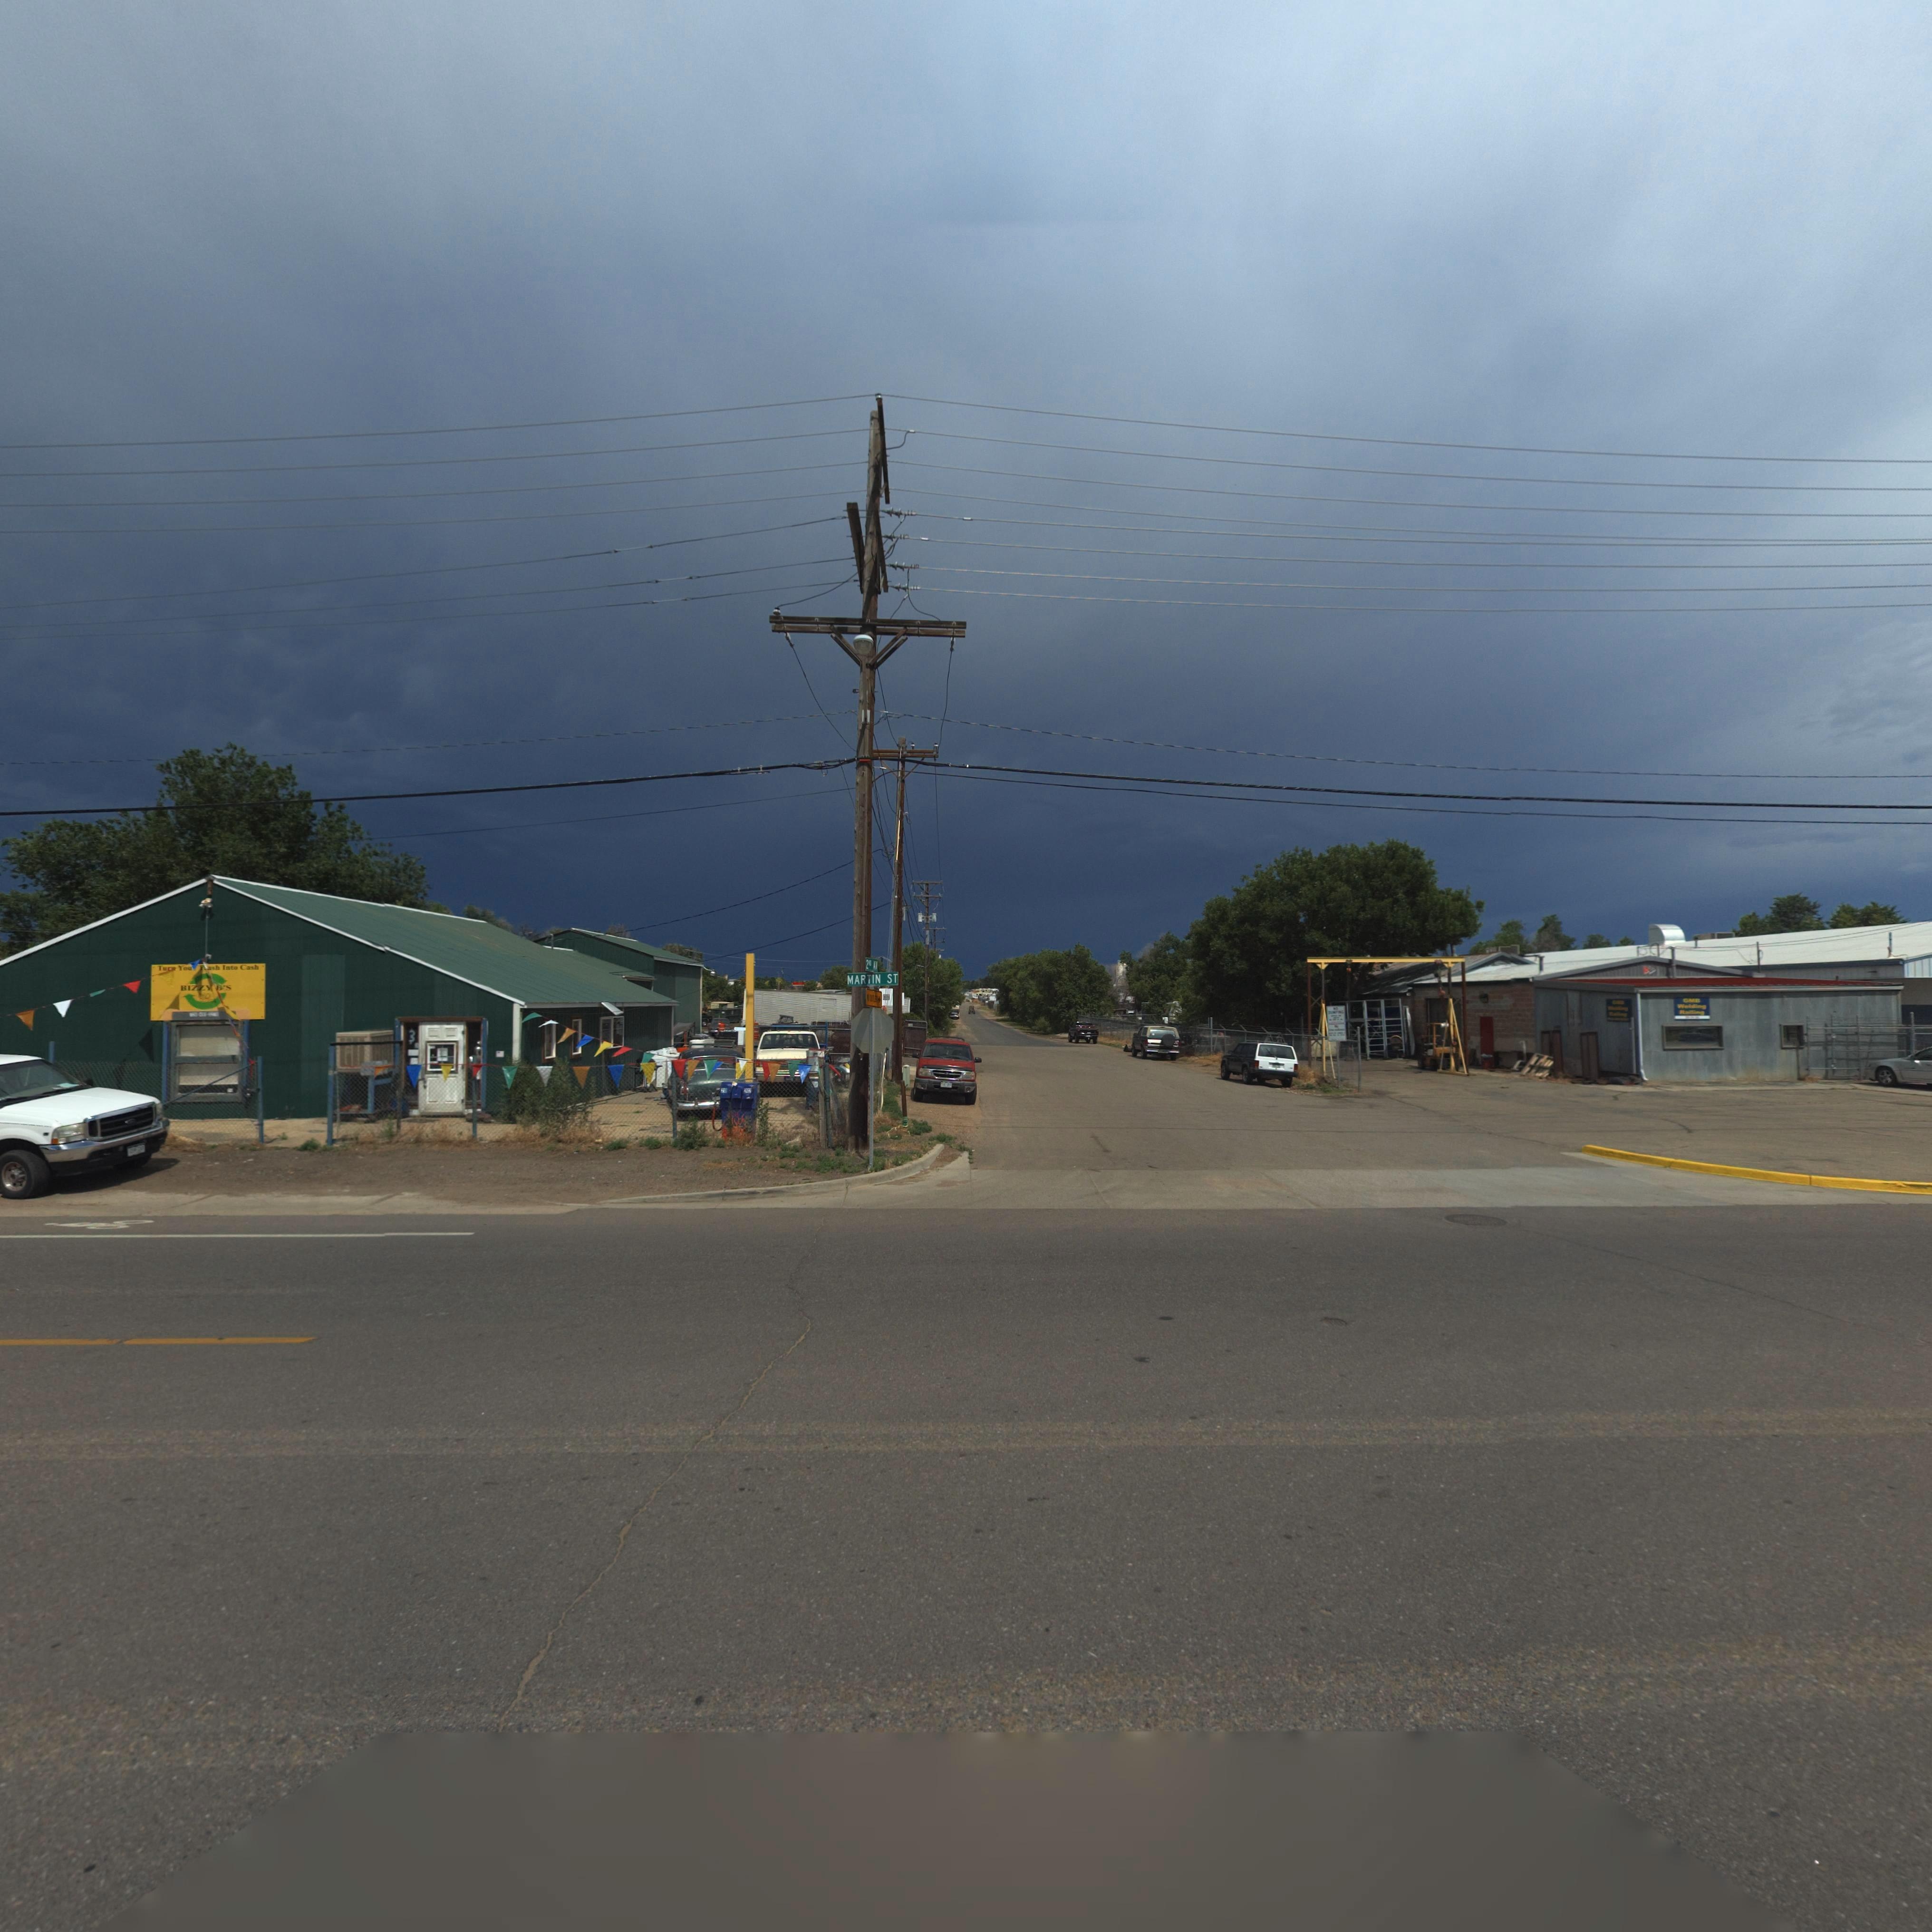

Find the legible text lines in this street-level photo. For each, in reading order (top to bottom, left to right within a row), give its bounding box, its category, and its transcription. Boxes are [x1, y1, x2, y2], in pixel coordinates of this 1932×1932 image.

[865, 959, 878, 971] StreetName: 2ND AV
[847, 974, 898, 985] StreetName: MAP IN ST
[179, 983, 232, 992] BusinessName: BIZZY B'S
[1681, 997, 1701, 1003] BusinessName: GMB
[1676, 1003, 1707, 1010] BusinessName: Welding
[1678, 1009, 1705, 1015] BusinessName: Ra**ing